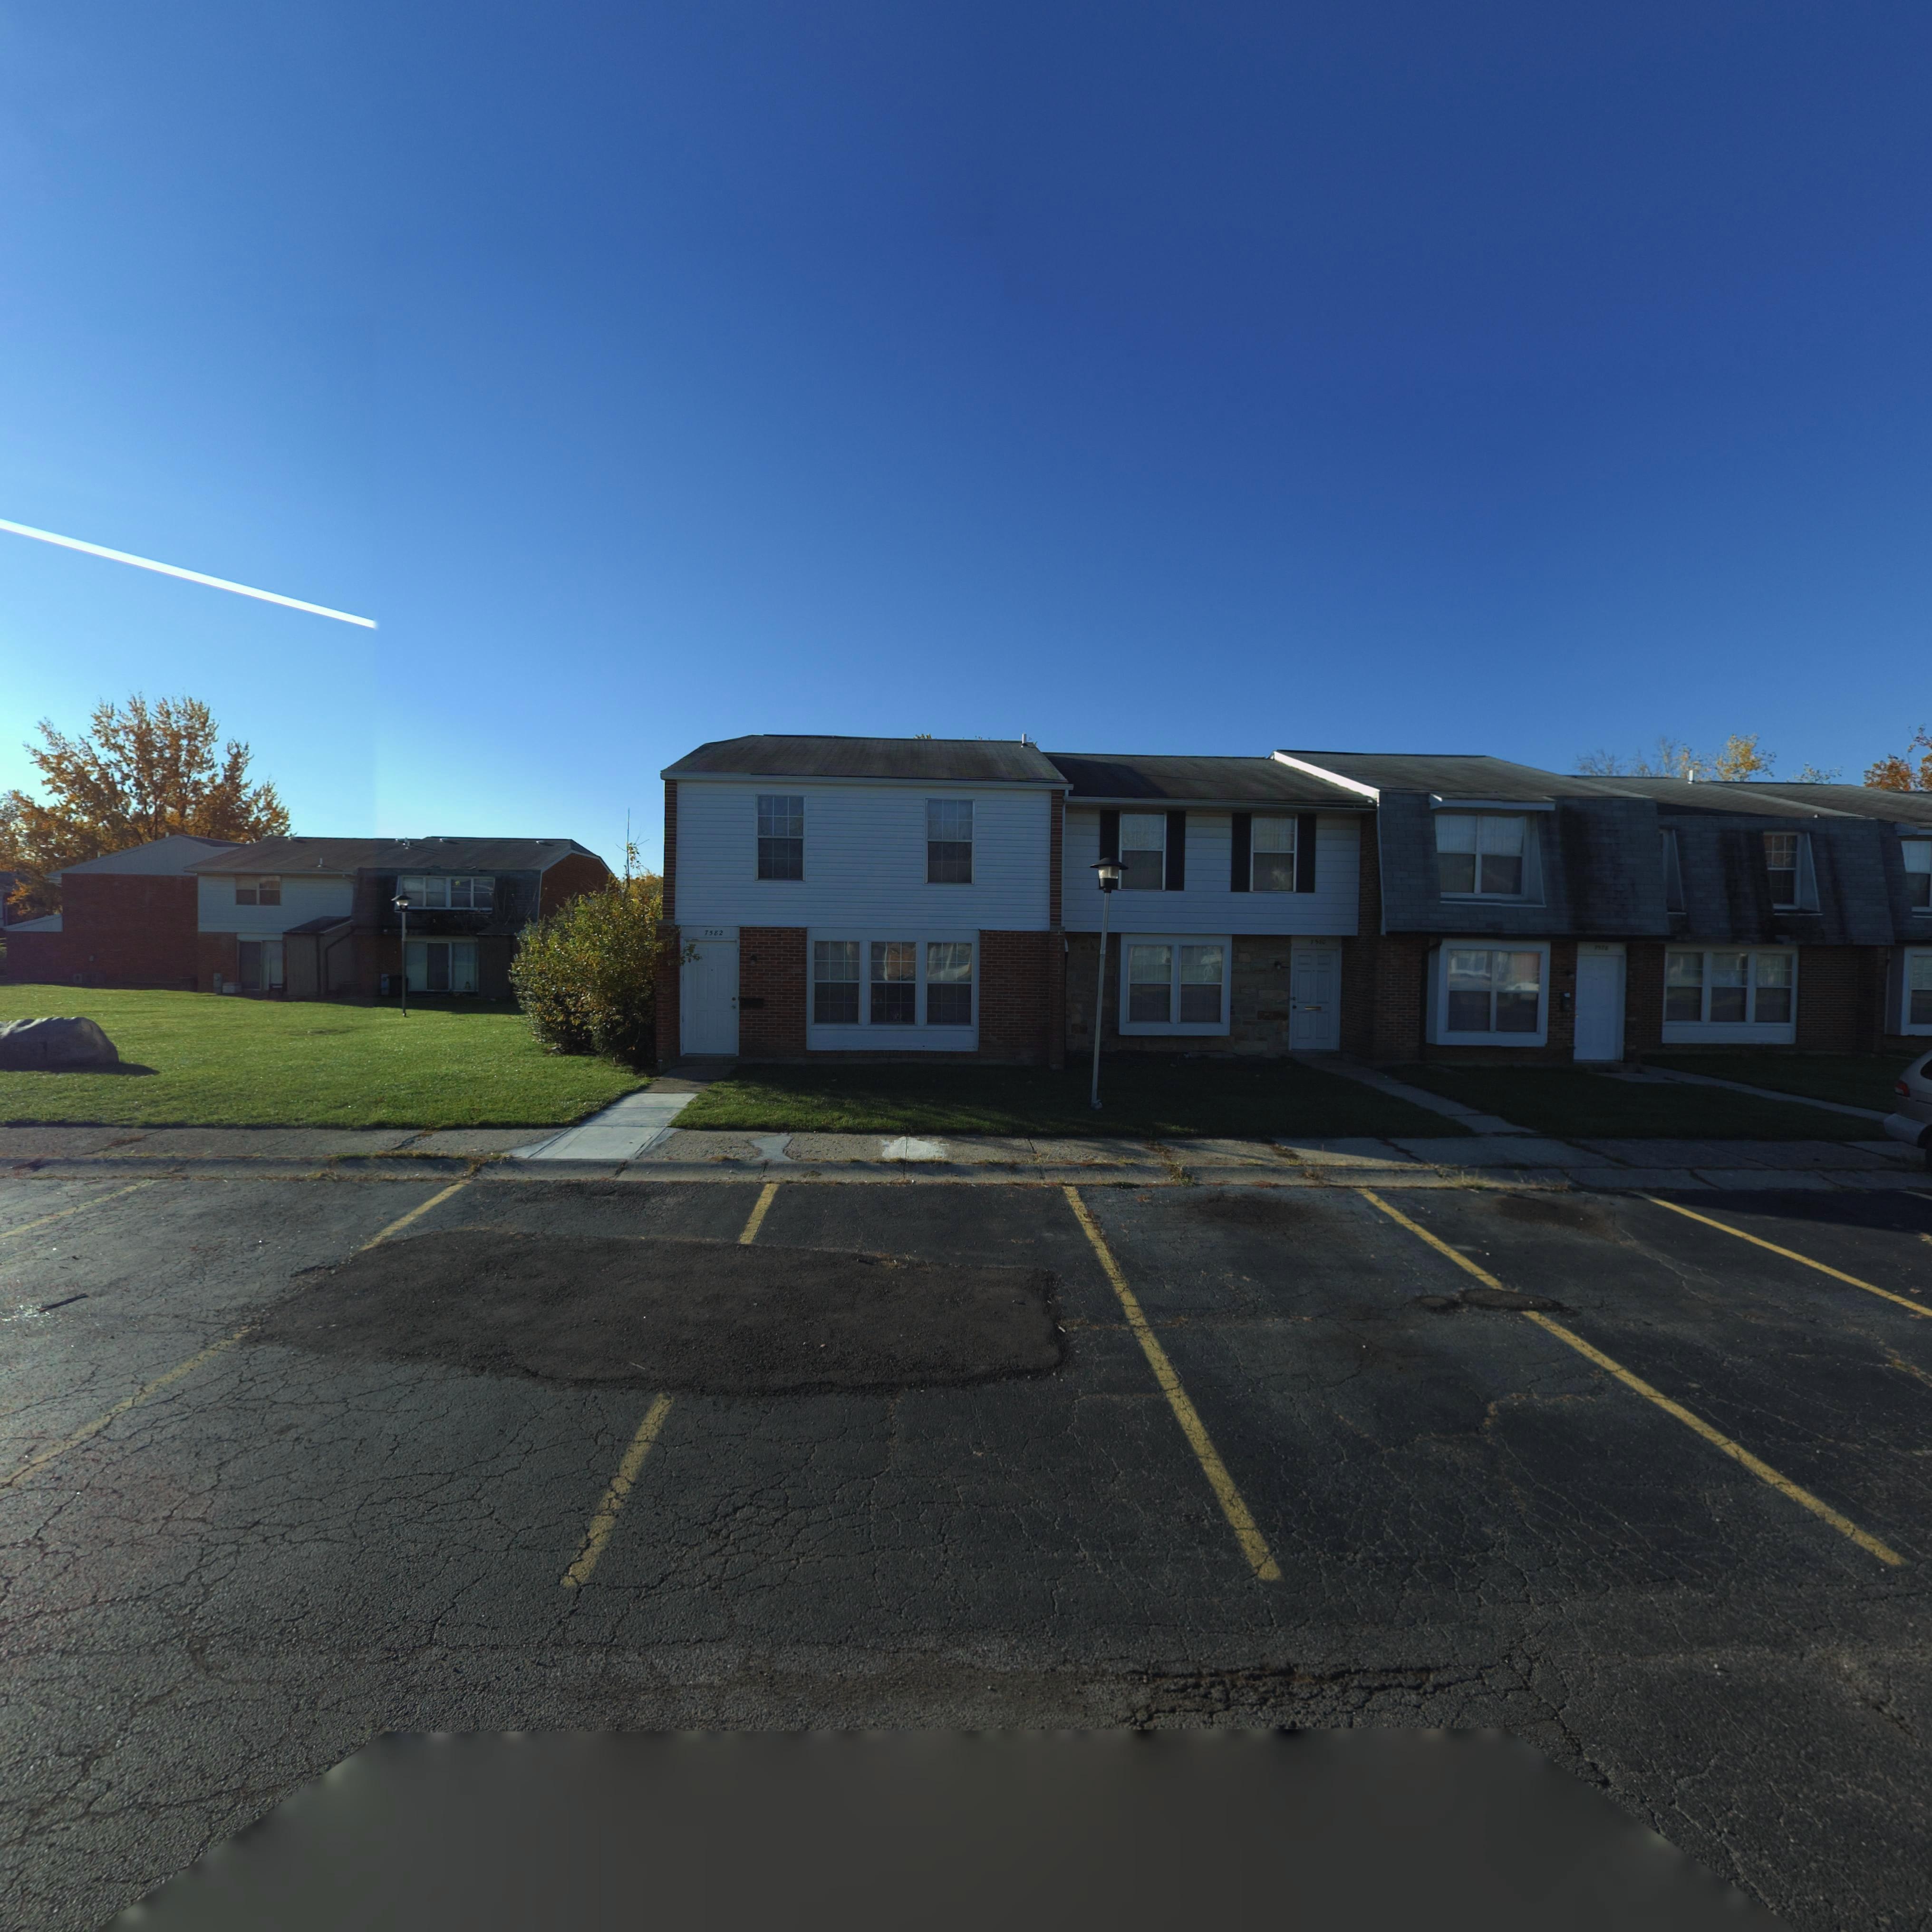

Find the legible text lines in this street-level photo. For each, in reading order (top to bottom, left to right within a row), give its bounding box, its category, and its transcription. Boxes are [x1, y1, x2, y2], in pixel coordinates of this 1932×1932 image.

[704, 929, 724, 937] StreetNumber: 7582
[1309, 938, 1327, 946] StreetNumber: 75*0
[1593, 944, 1611, 952] StreetNumber: **7*